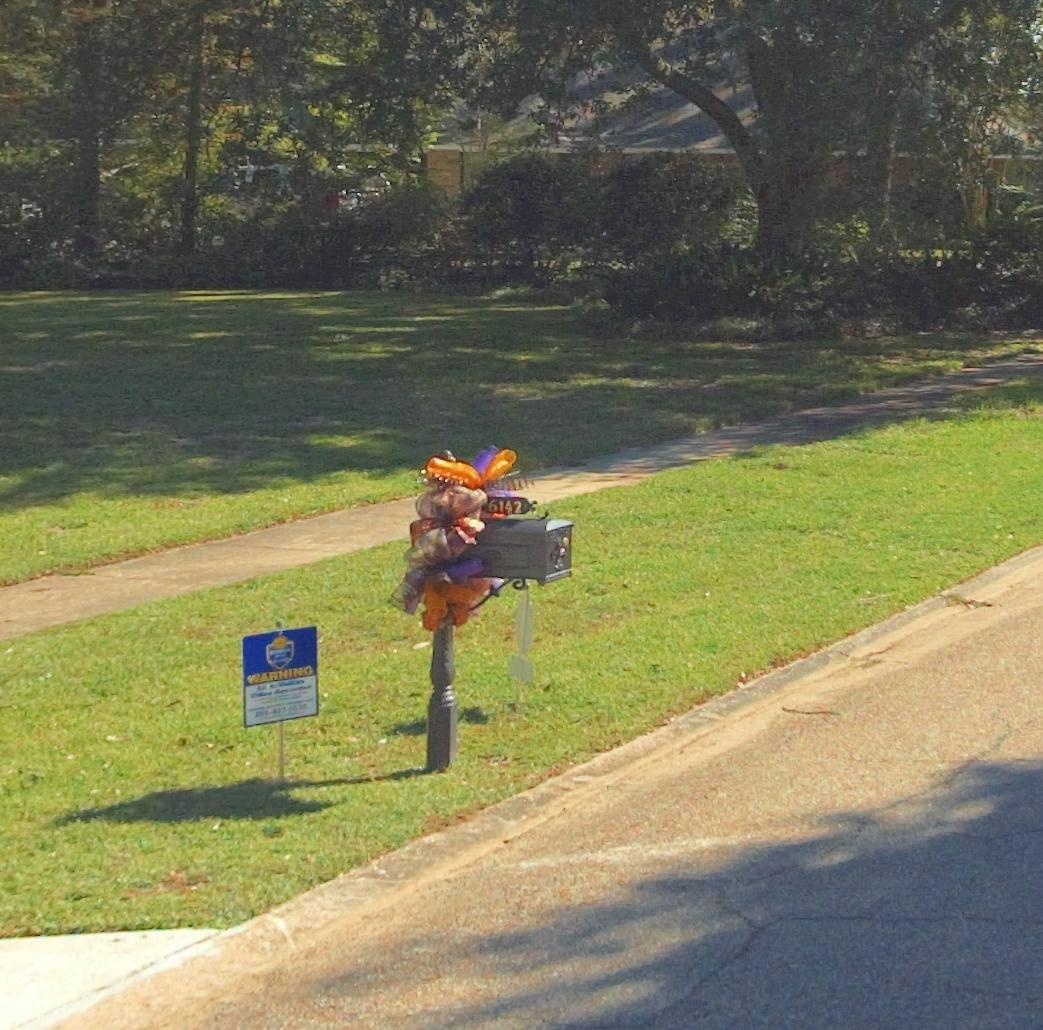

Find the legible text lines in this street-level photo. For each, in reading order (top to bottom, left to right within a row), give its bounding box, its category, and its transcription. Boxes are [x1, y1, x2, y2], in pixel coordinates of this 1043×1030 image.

[486, 497, 524, 515] StreetNumber: 6142
[242, 662, 317, 687] None: WARNING